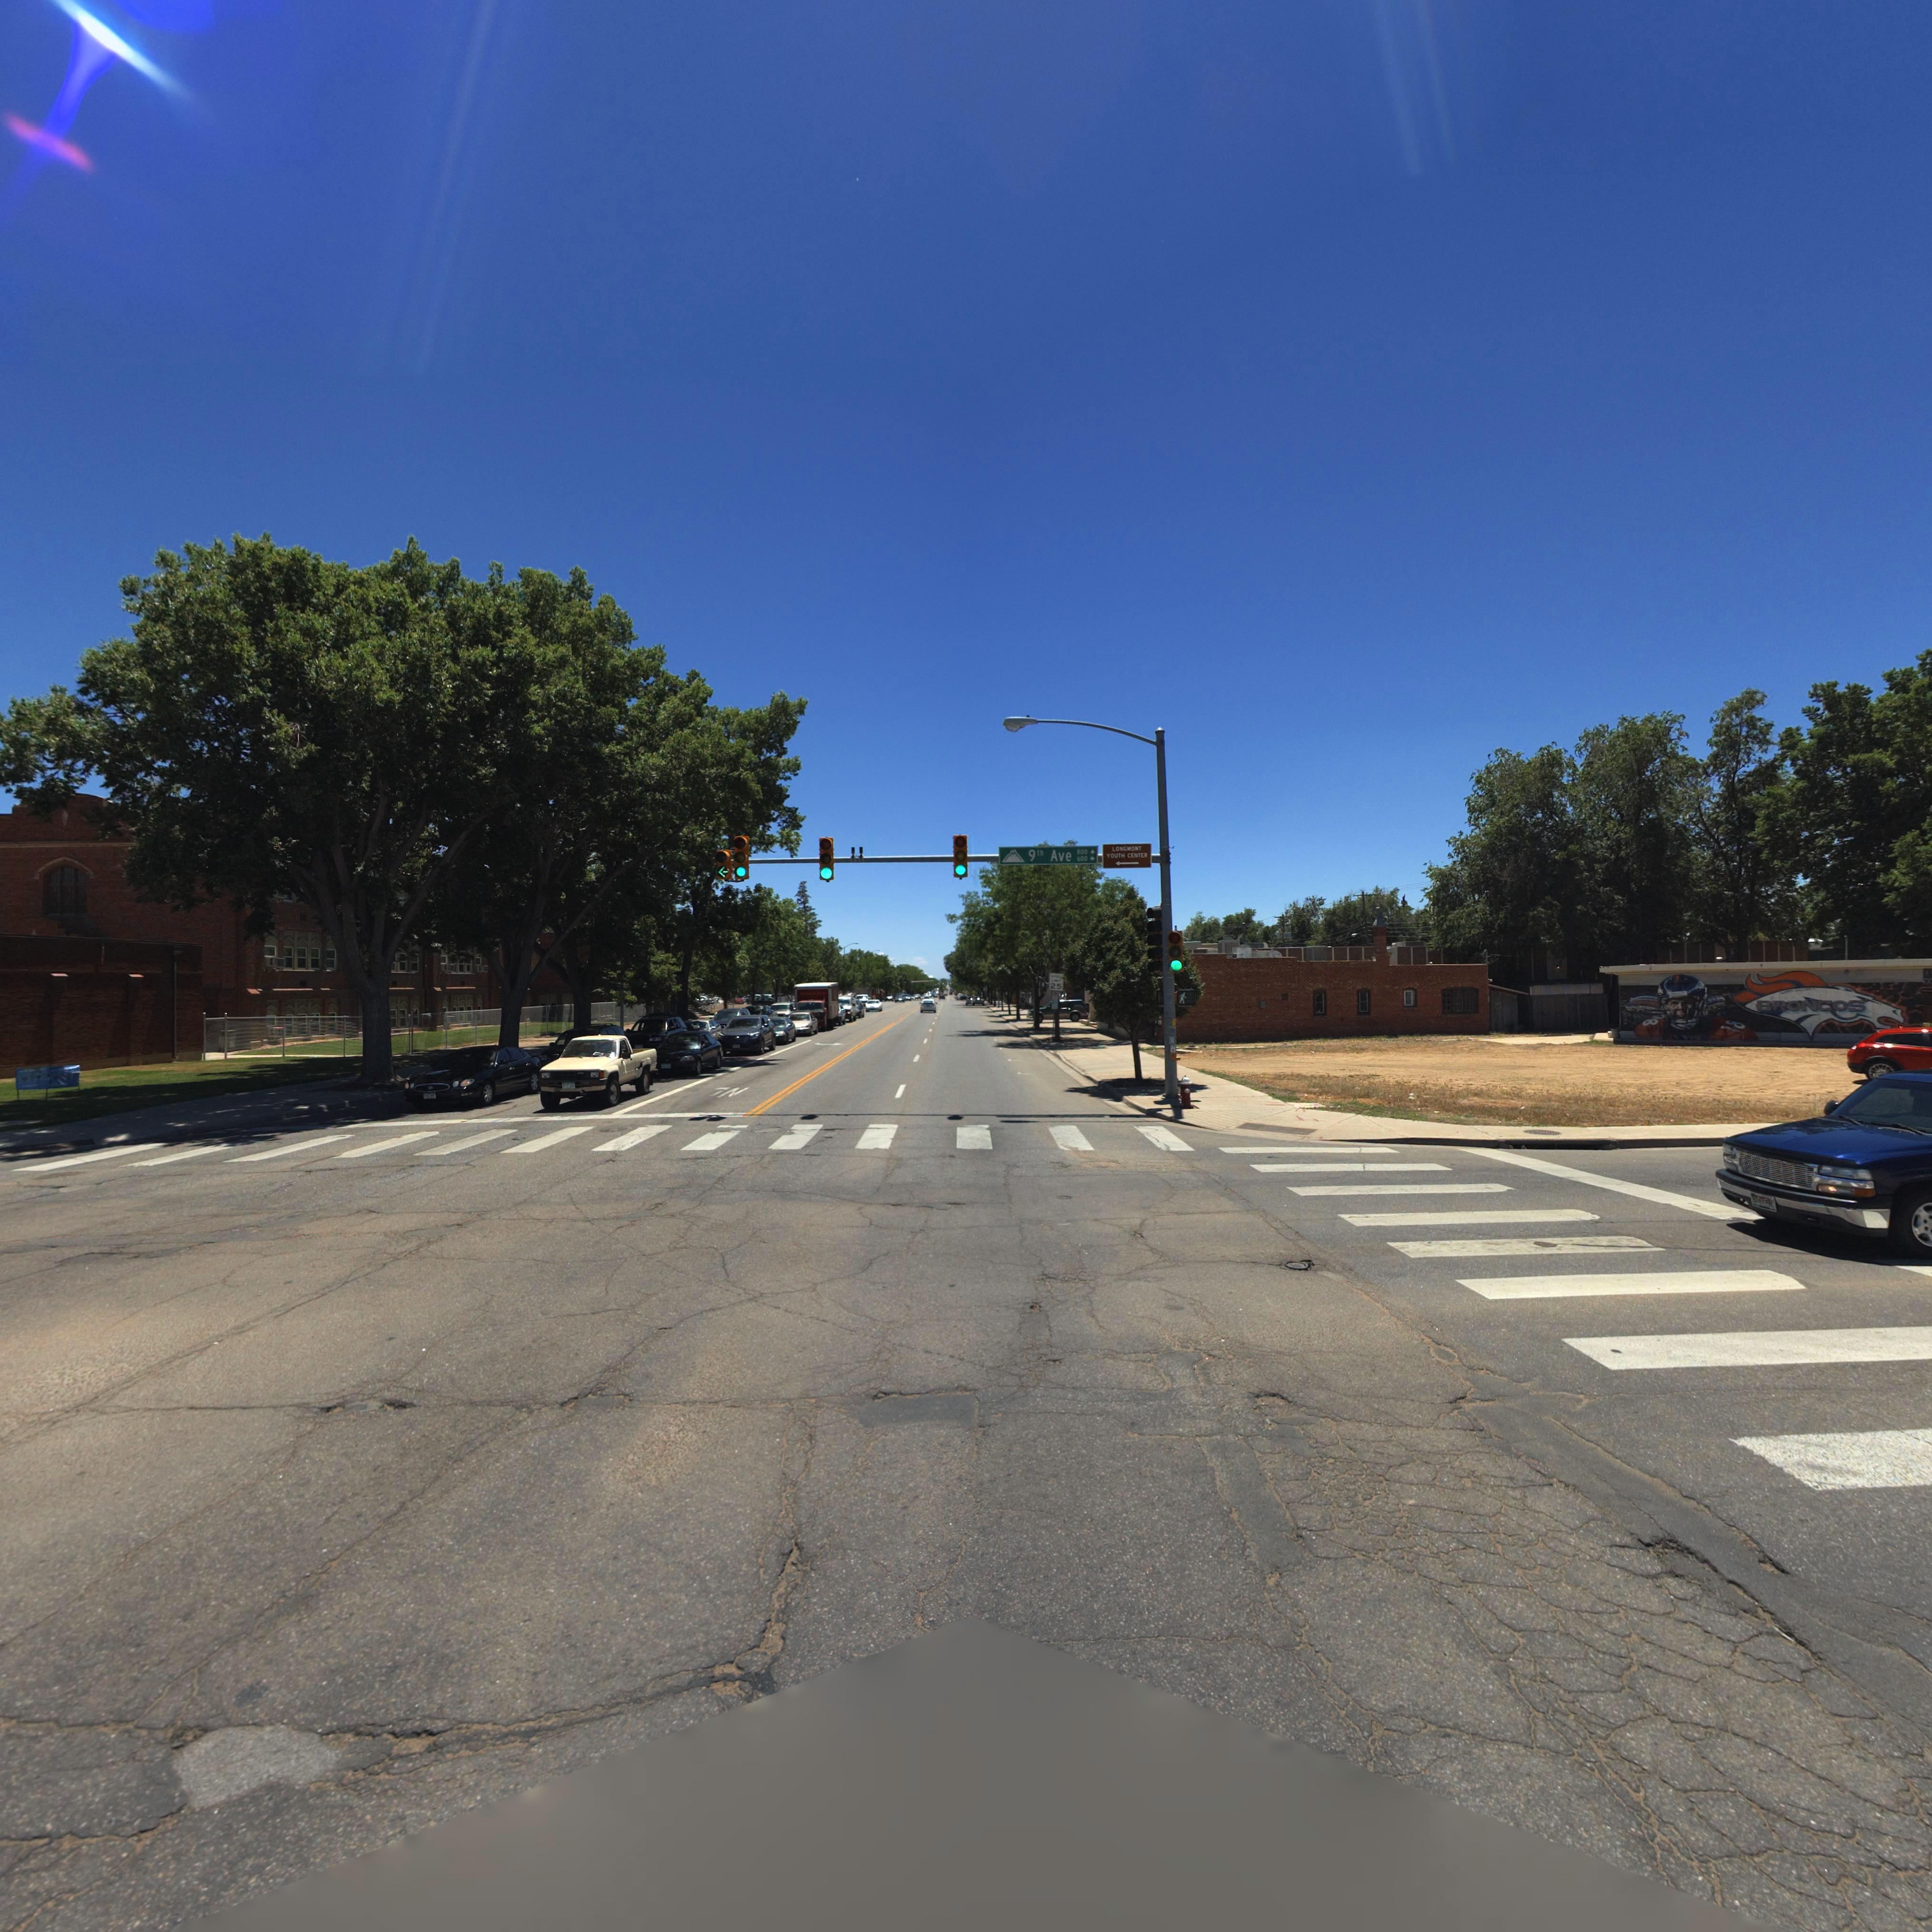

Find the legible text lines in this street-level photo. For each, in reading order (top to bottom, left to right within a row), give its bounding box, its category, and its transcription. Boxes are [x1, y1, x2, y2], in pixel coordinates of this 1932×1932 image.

[1077, 849, 1087, 855] StreetNumberRange: 800
[1028, 849, 1072, 862] StreetName: 9th Ave
[1076, 855, 1095, 861] StreetNumberRange: 600->